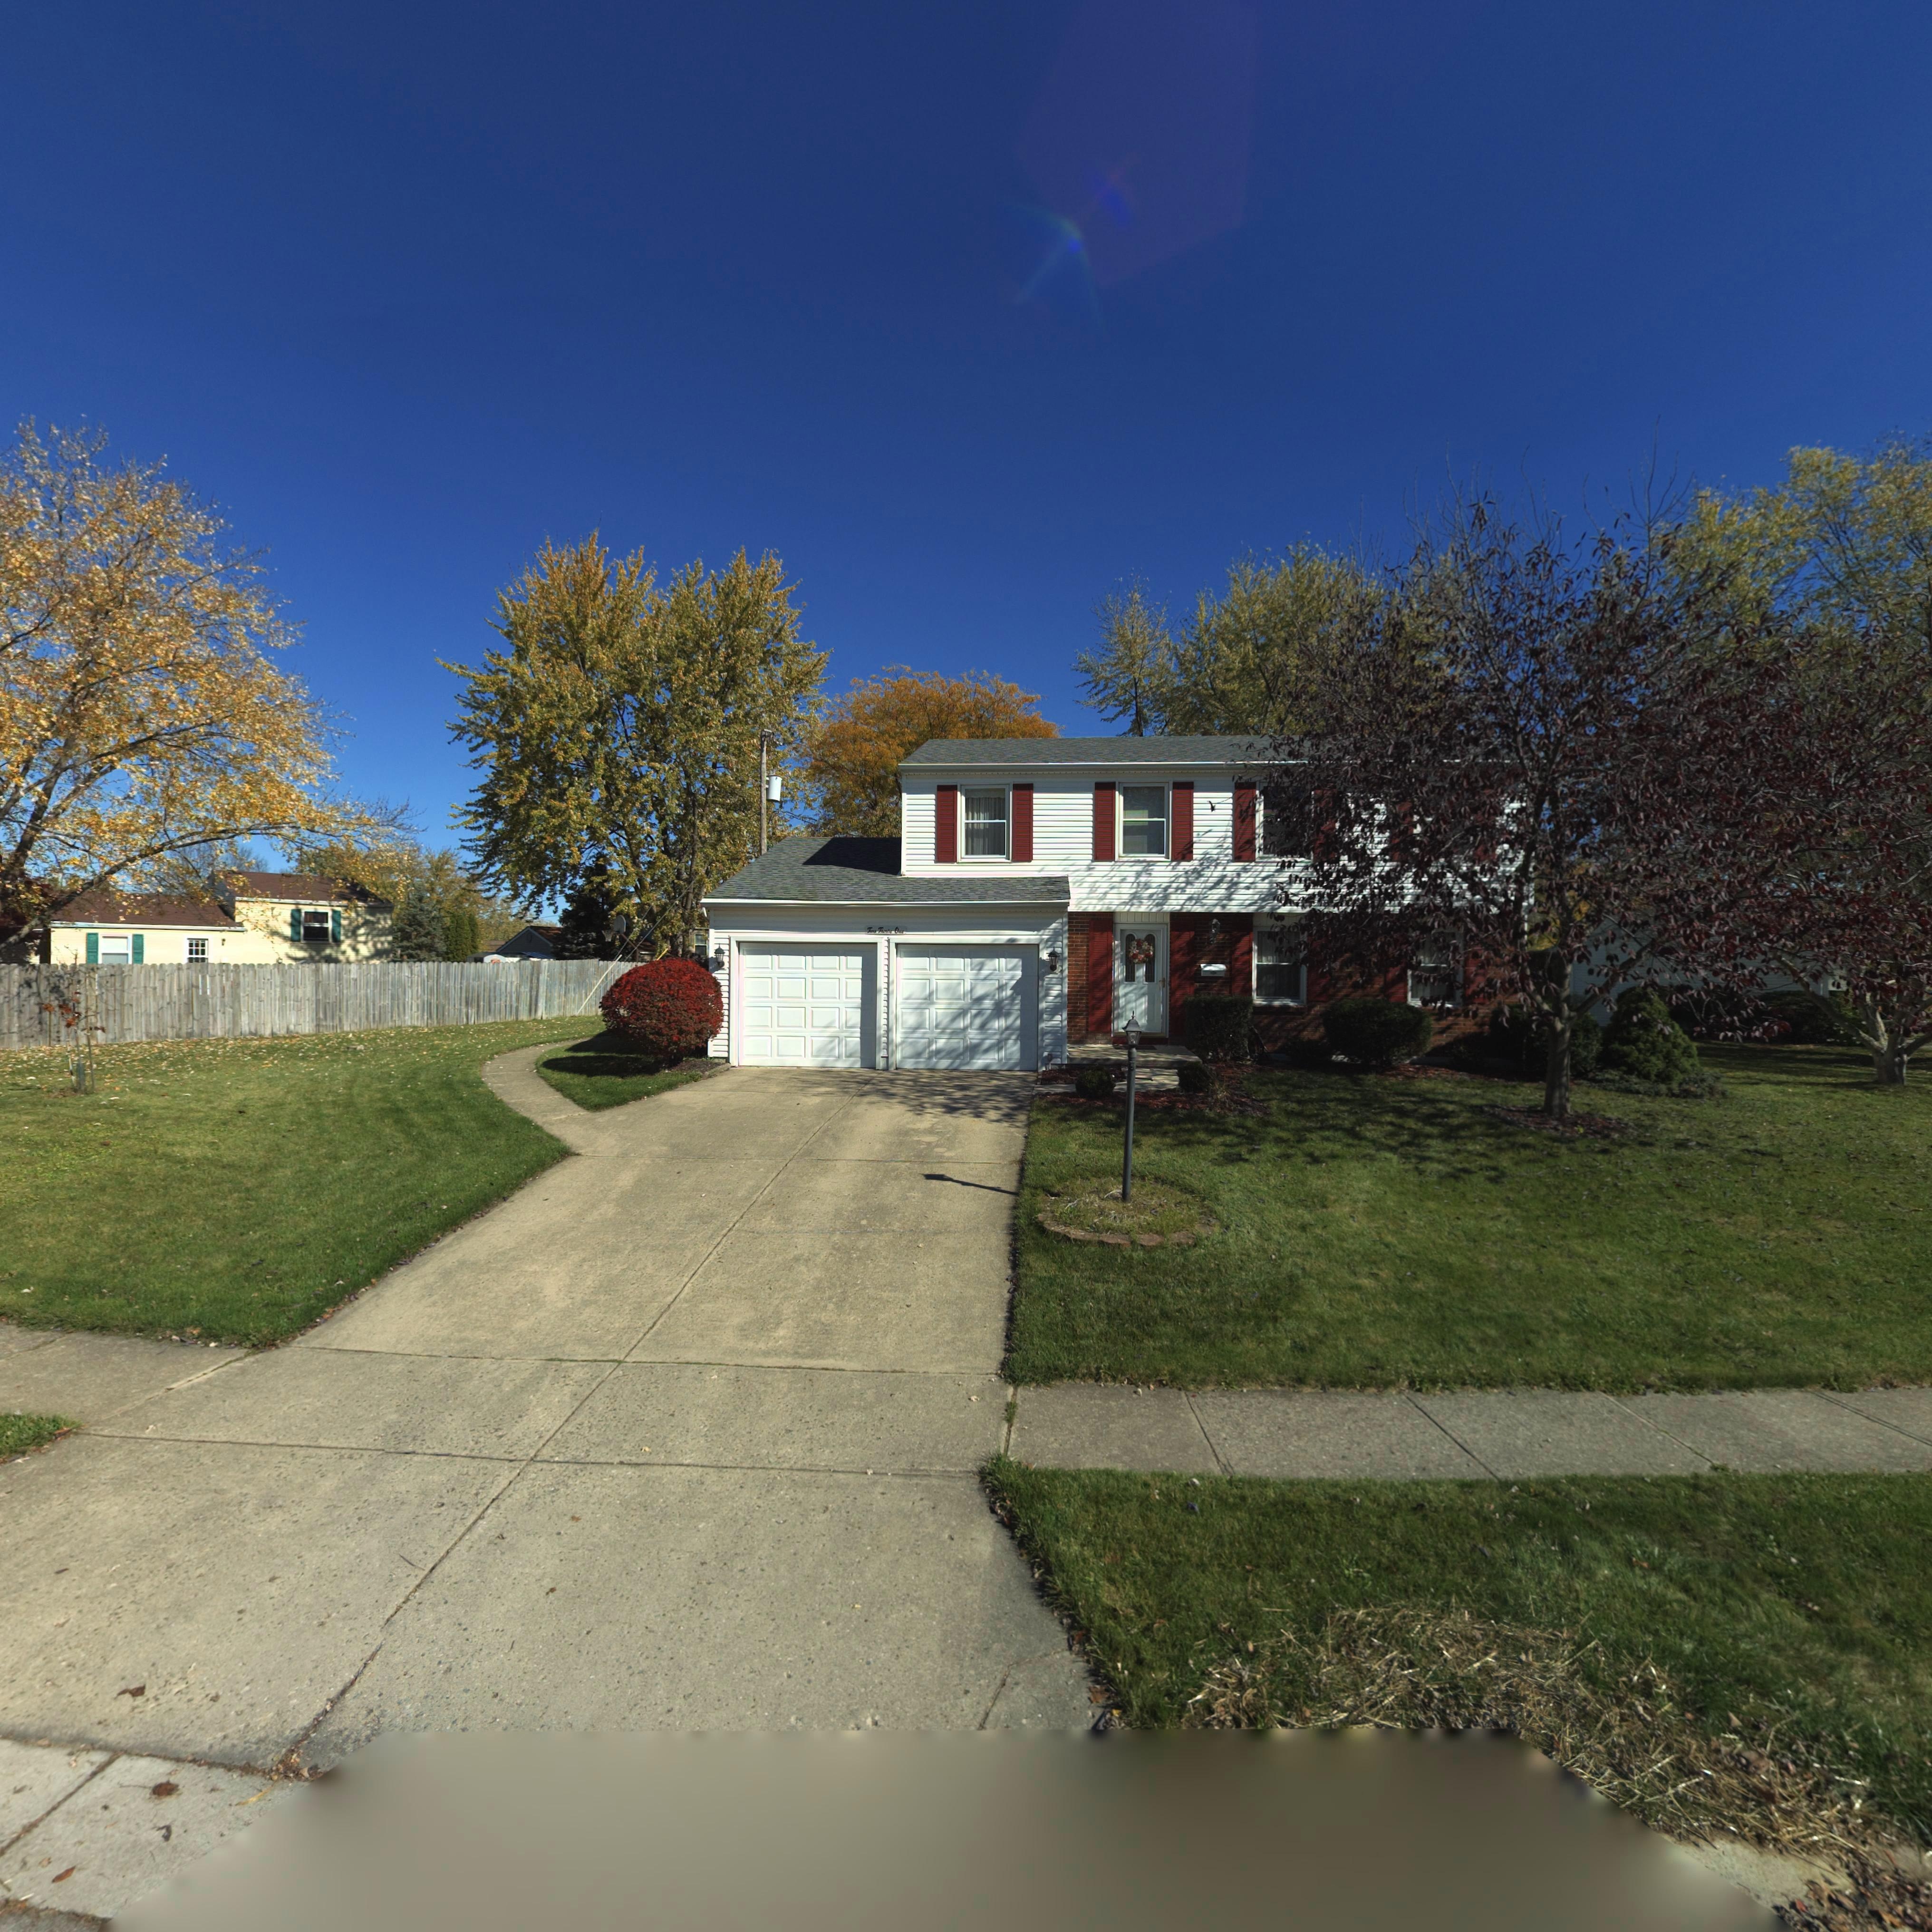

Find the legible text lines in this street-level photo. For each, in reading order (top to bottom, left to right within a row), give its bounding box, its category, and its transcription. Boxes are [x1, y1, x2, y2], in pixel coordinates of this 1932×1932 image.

[867, 926, 905, 934] StreetNumber: Two Thirty One